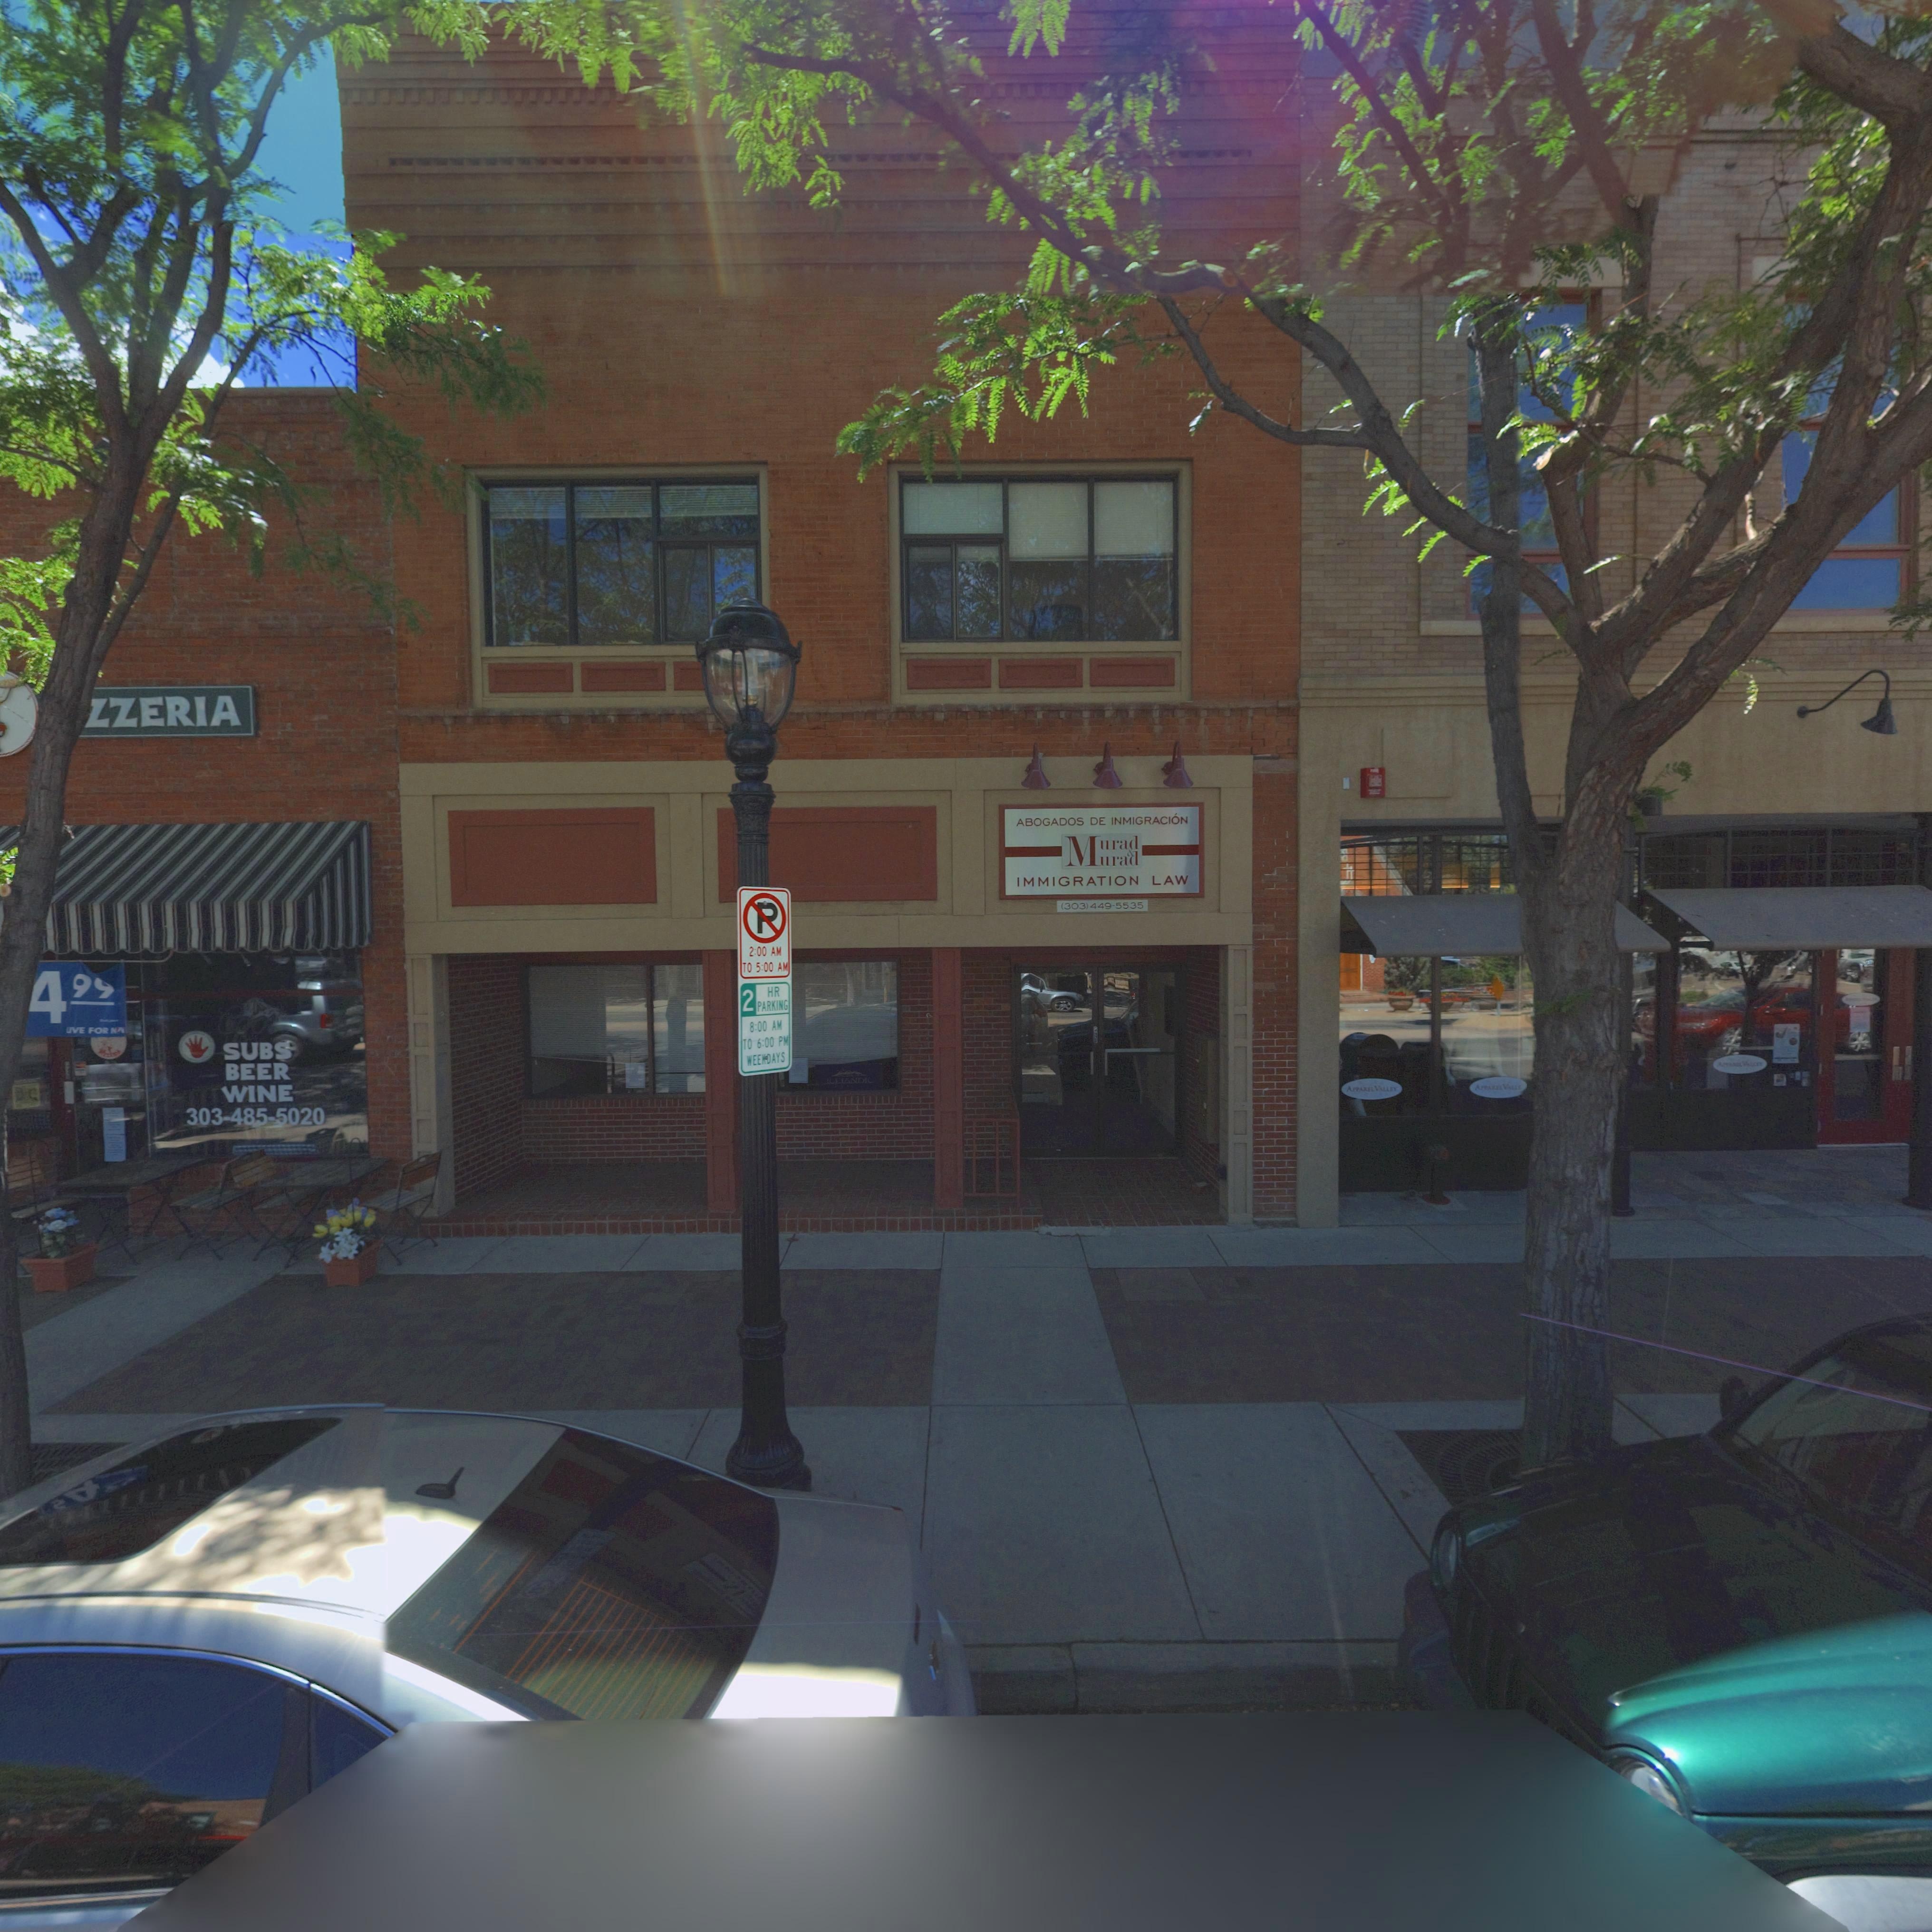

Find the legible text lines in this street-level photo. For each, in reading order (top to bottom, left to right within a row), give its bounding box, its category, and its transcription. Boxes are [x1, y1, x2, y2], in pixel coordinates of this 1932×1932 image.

[85, 694, 243, 727] BusinessName: *ZERIA
[1015, 812, 1188, 826] BusinessName: ABOGADOS DE INMIGRACI*N
[1100, 835, 1138, 850] BusinessName: urad
[1064, 835, 1101, 867] BusinessName: M
[1100, 850, 1138, 866] BusinessName: urad
[1017, 874, 1189, 887] BusinessName: IMIGRATION LAW
[1717, 1061, 1763, 1067] BusinessName: A*****L V*****
[1345, 1085, 1397, 1092] BusinessName: APPAREL VALLEY
[1474, 1083, 1522, 1090] BusinessName: APP**** V*****